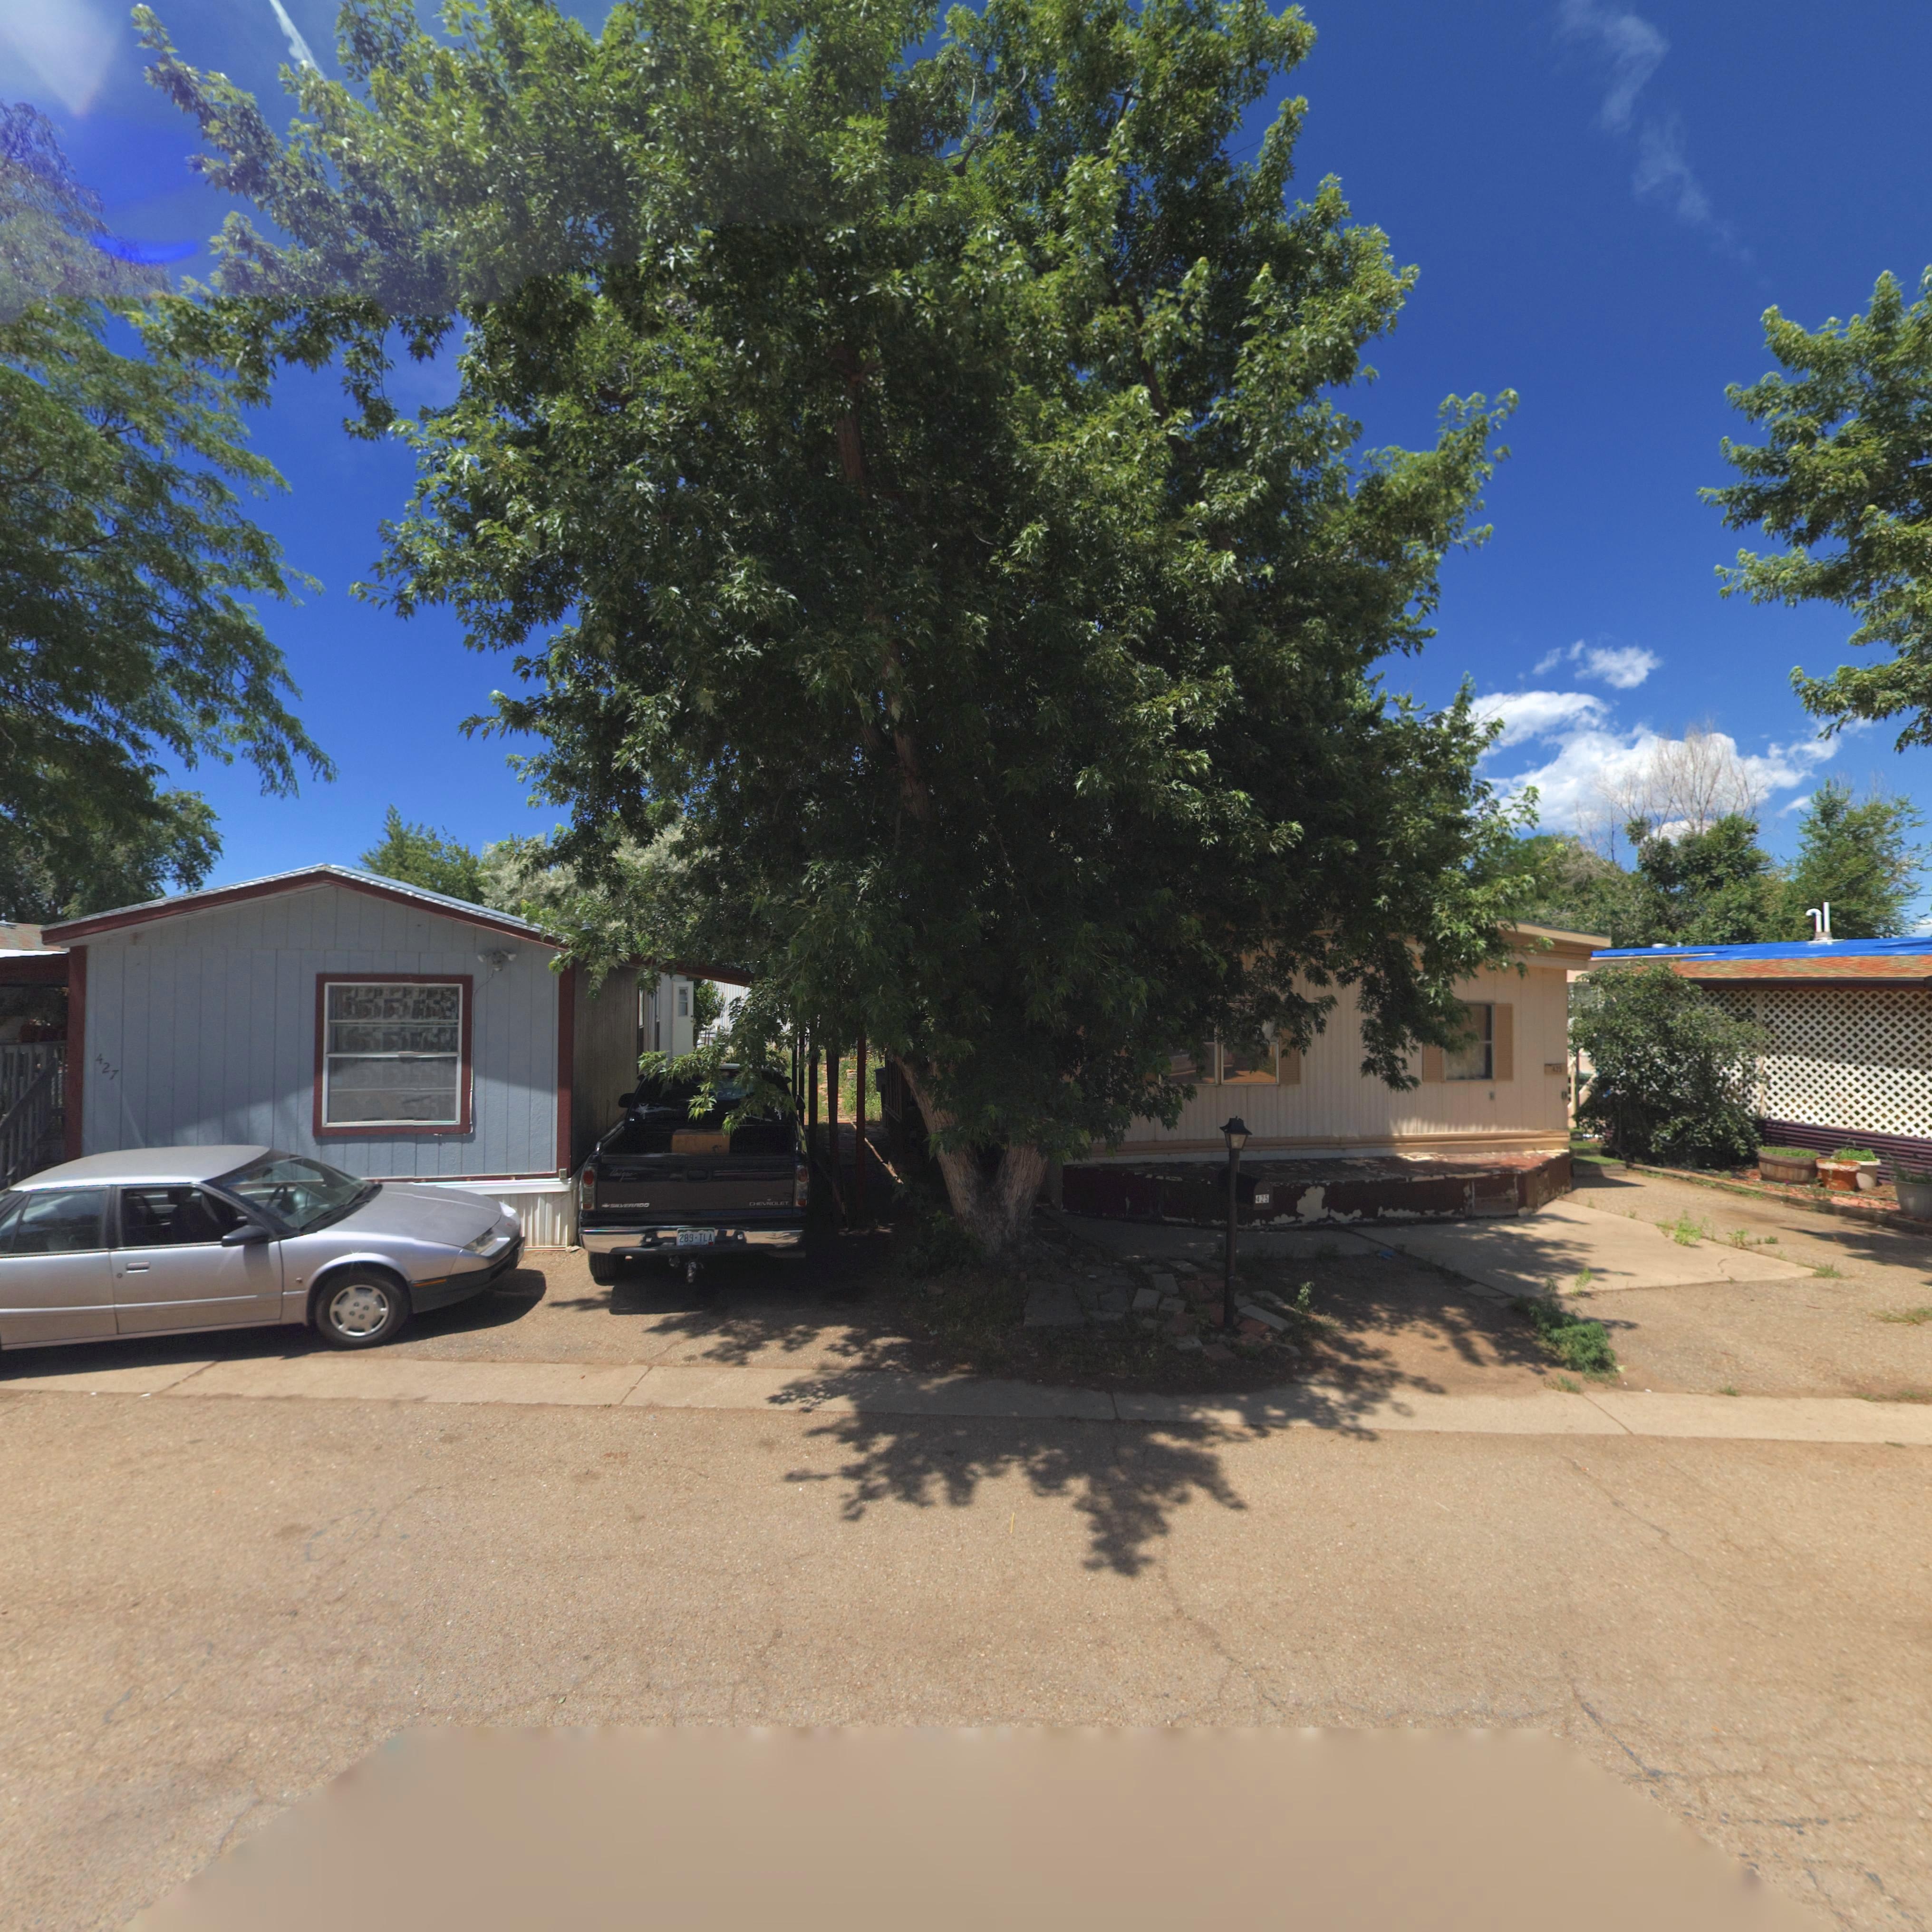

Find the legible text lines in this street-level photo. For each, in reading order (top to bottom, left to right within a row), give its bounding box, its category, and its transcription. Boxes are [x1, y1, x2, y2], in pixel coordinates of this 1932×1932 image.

[95, 1052, 119, 1080] StreetNumber: 427
[1552, 1064, 1563, 1072] StreetNumber: 4**
[1256, 1194, 1268, 1203] StreetNumber: 425